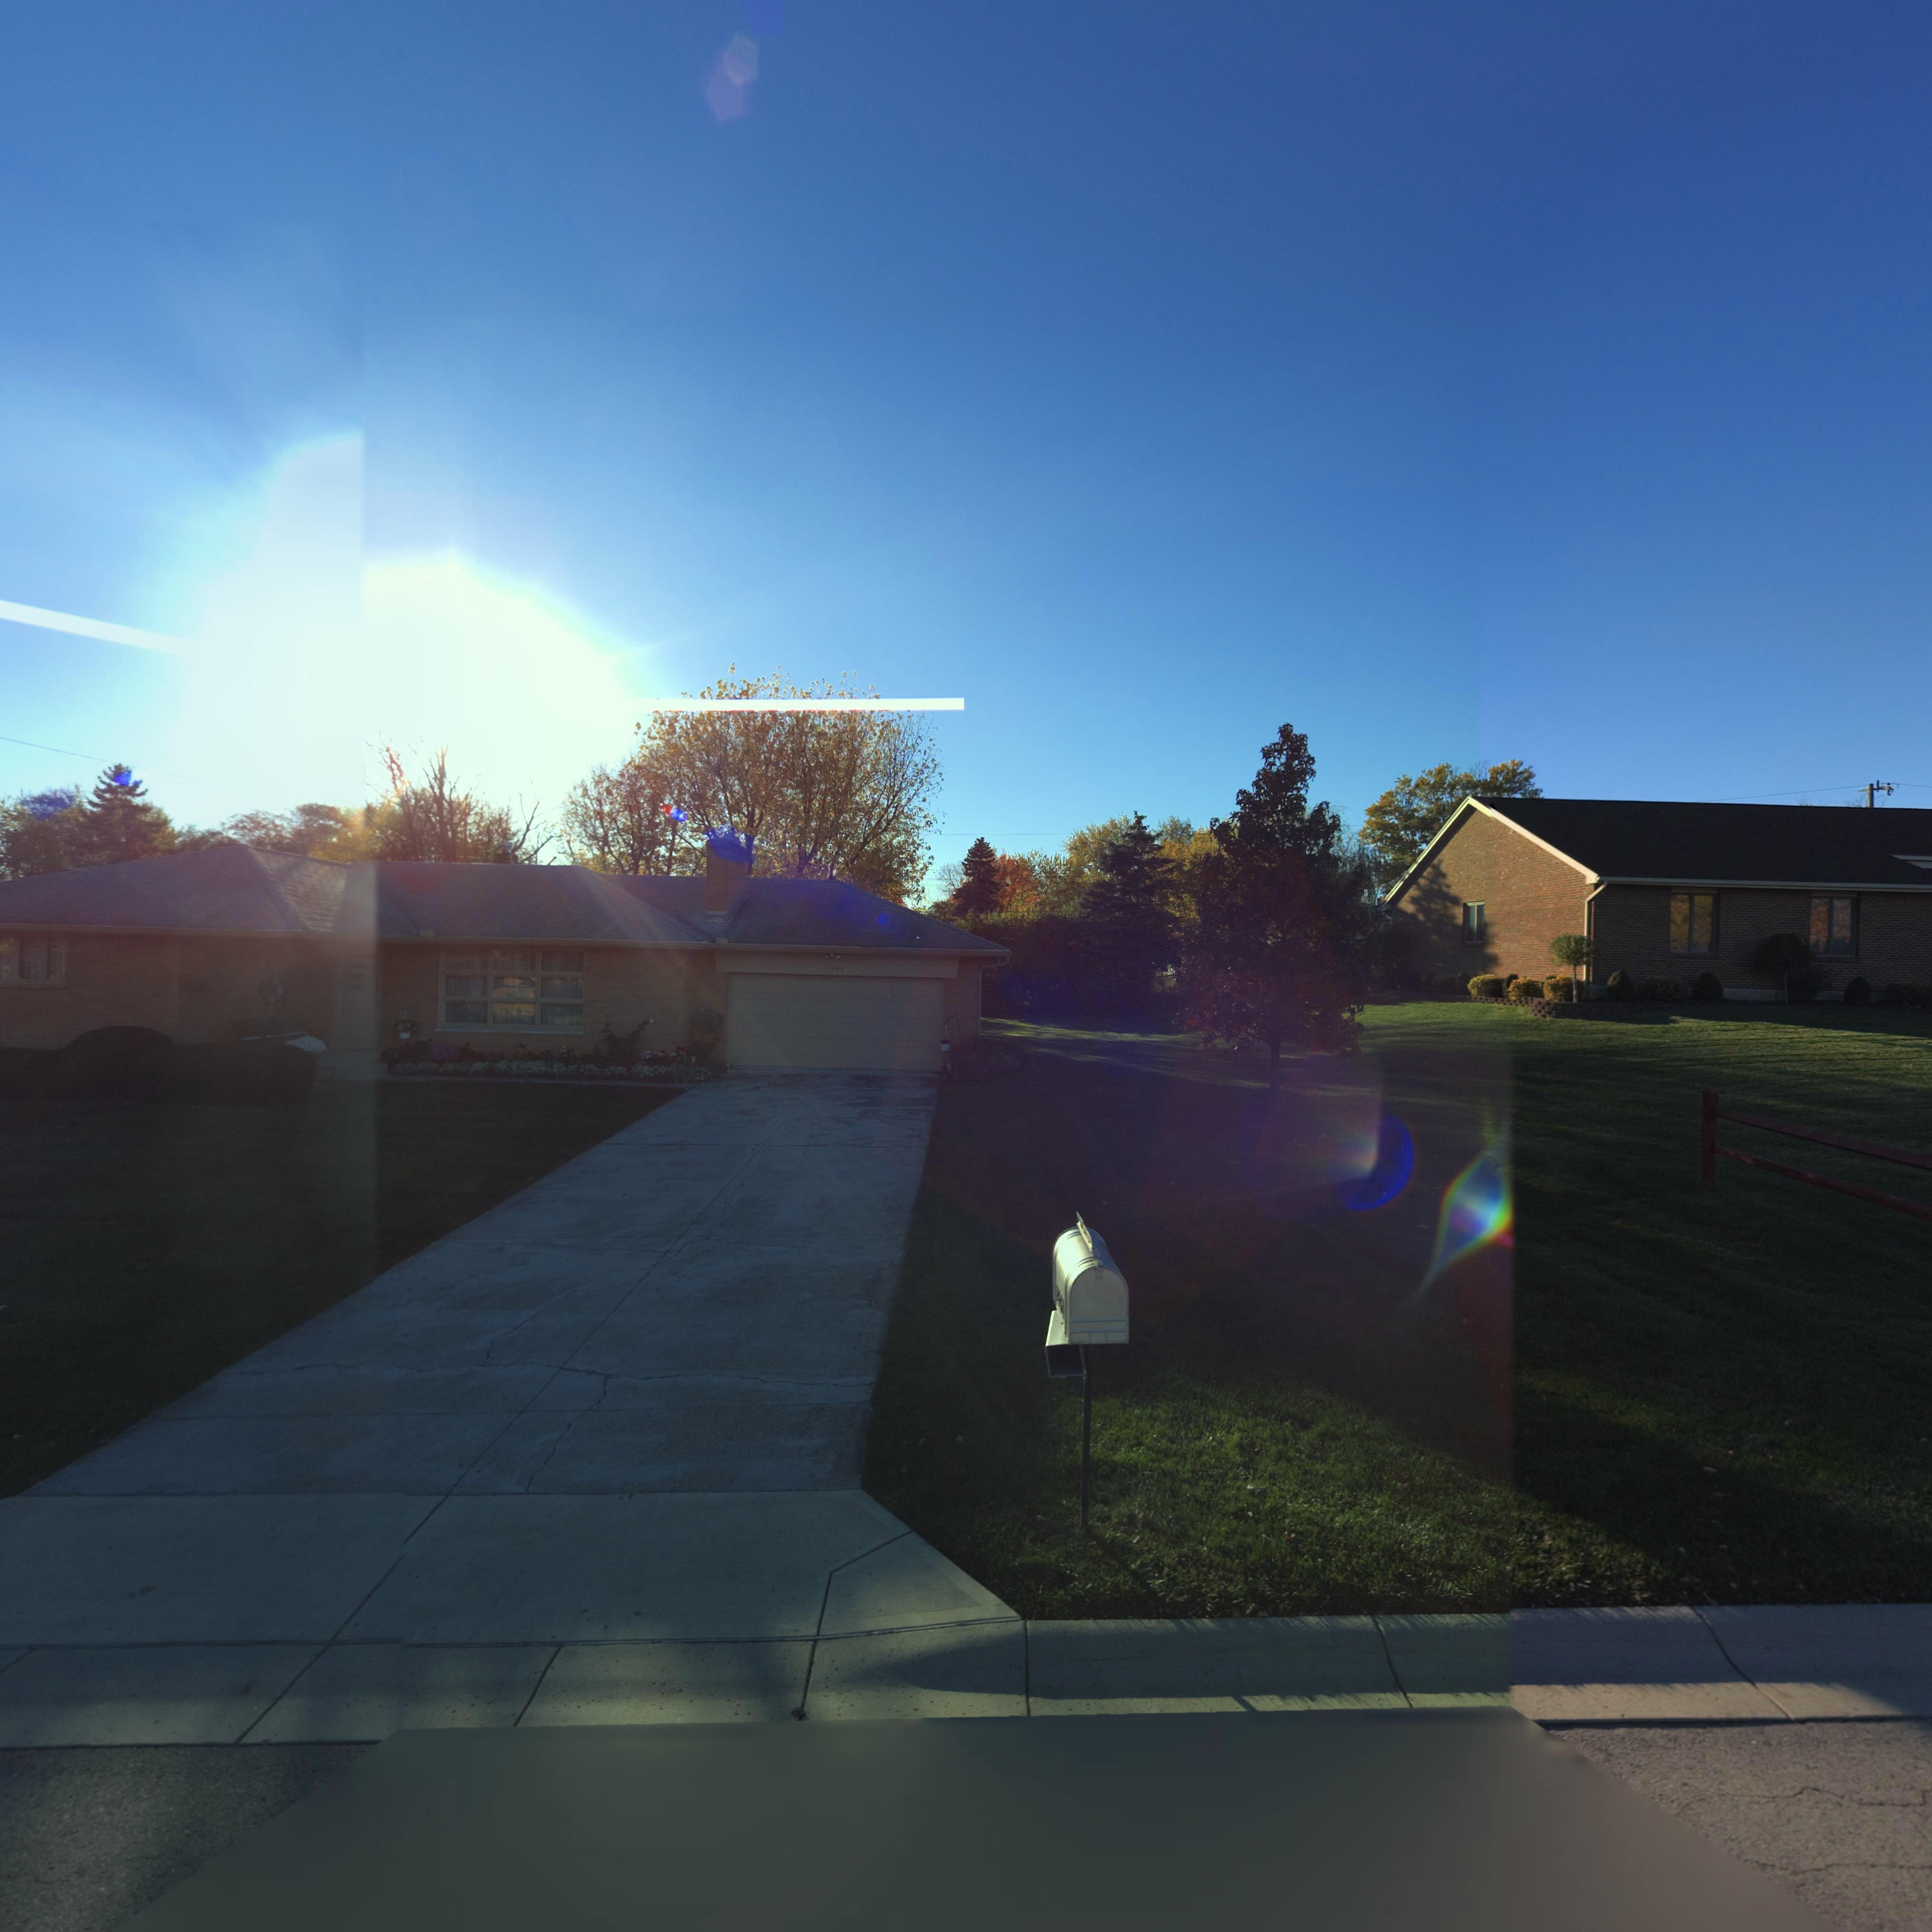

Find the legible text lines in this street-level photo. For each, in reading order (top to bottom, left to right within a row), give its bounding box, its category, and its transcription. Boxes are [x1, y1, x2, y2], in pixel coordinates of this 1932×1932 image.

[826, 965, 844, 972] StreetNumber: 7461